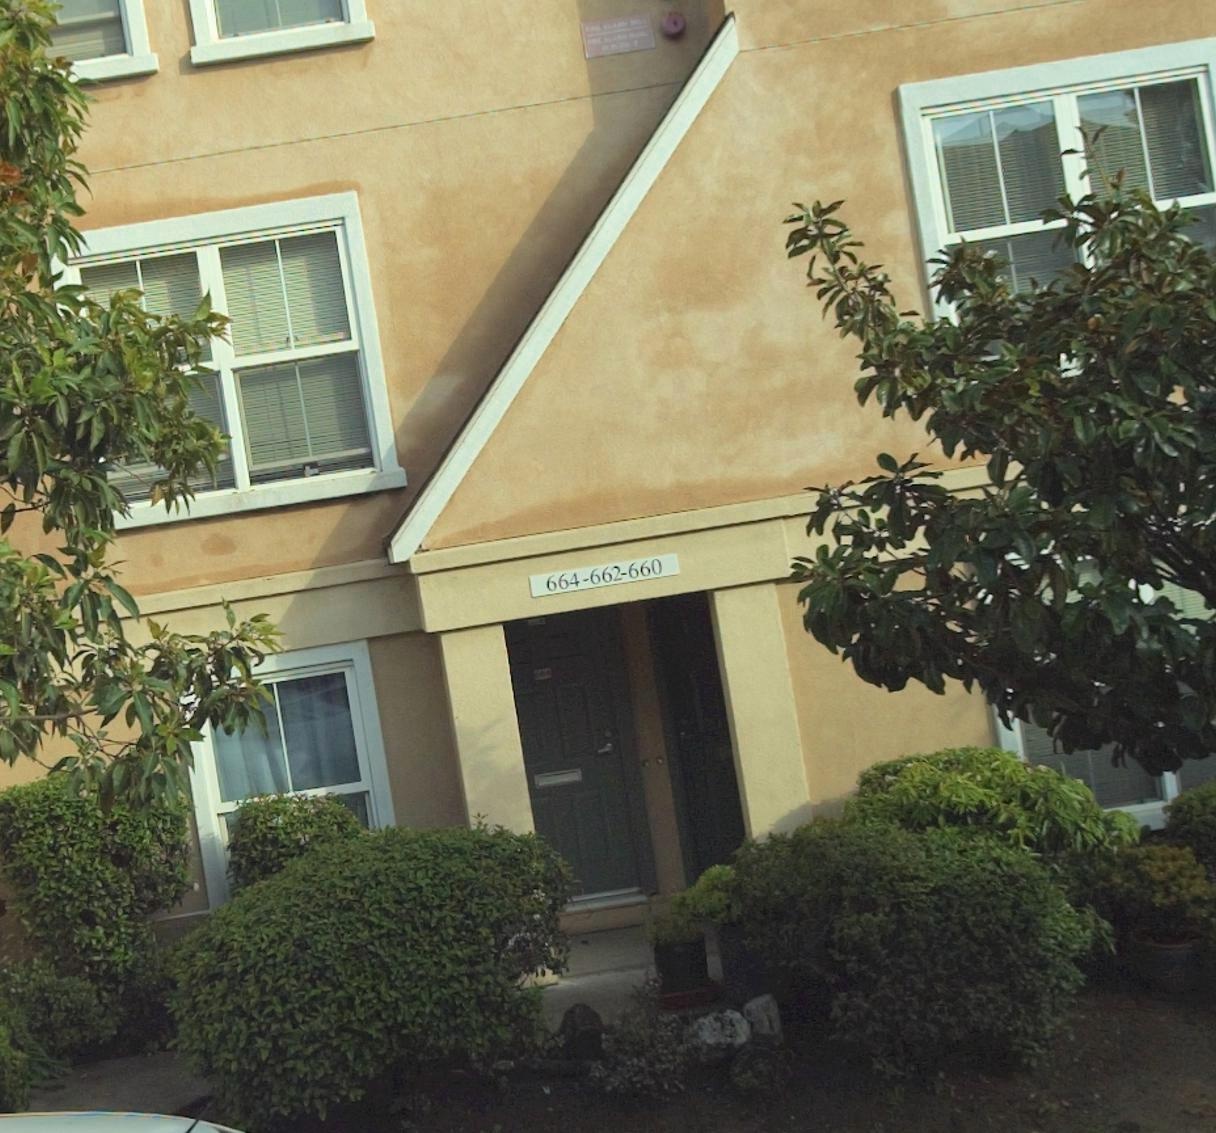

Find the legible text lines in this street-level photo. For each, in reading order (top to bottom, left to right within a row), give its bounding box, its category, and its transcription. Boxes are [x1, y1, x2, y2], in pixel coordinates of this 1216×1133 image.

[543, 570, 583, 594] StreetNumber: 664
[587, 562, 626, 588] StreetNumber: 662
[626, 554, 666, 582] StreetNumber: 660